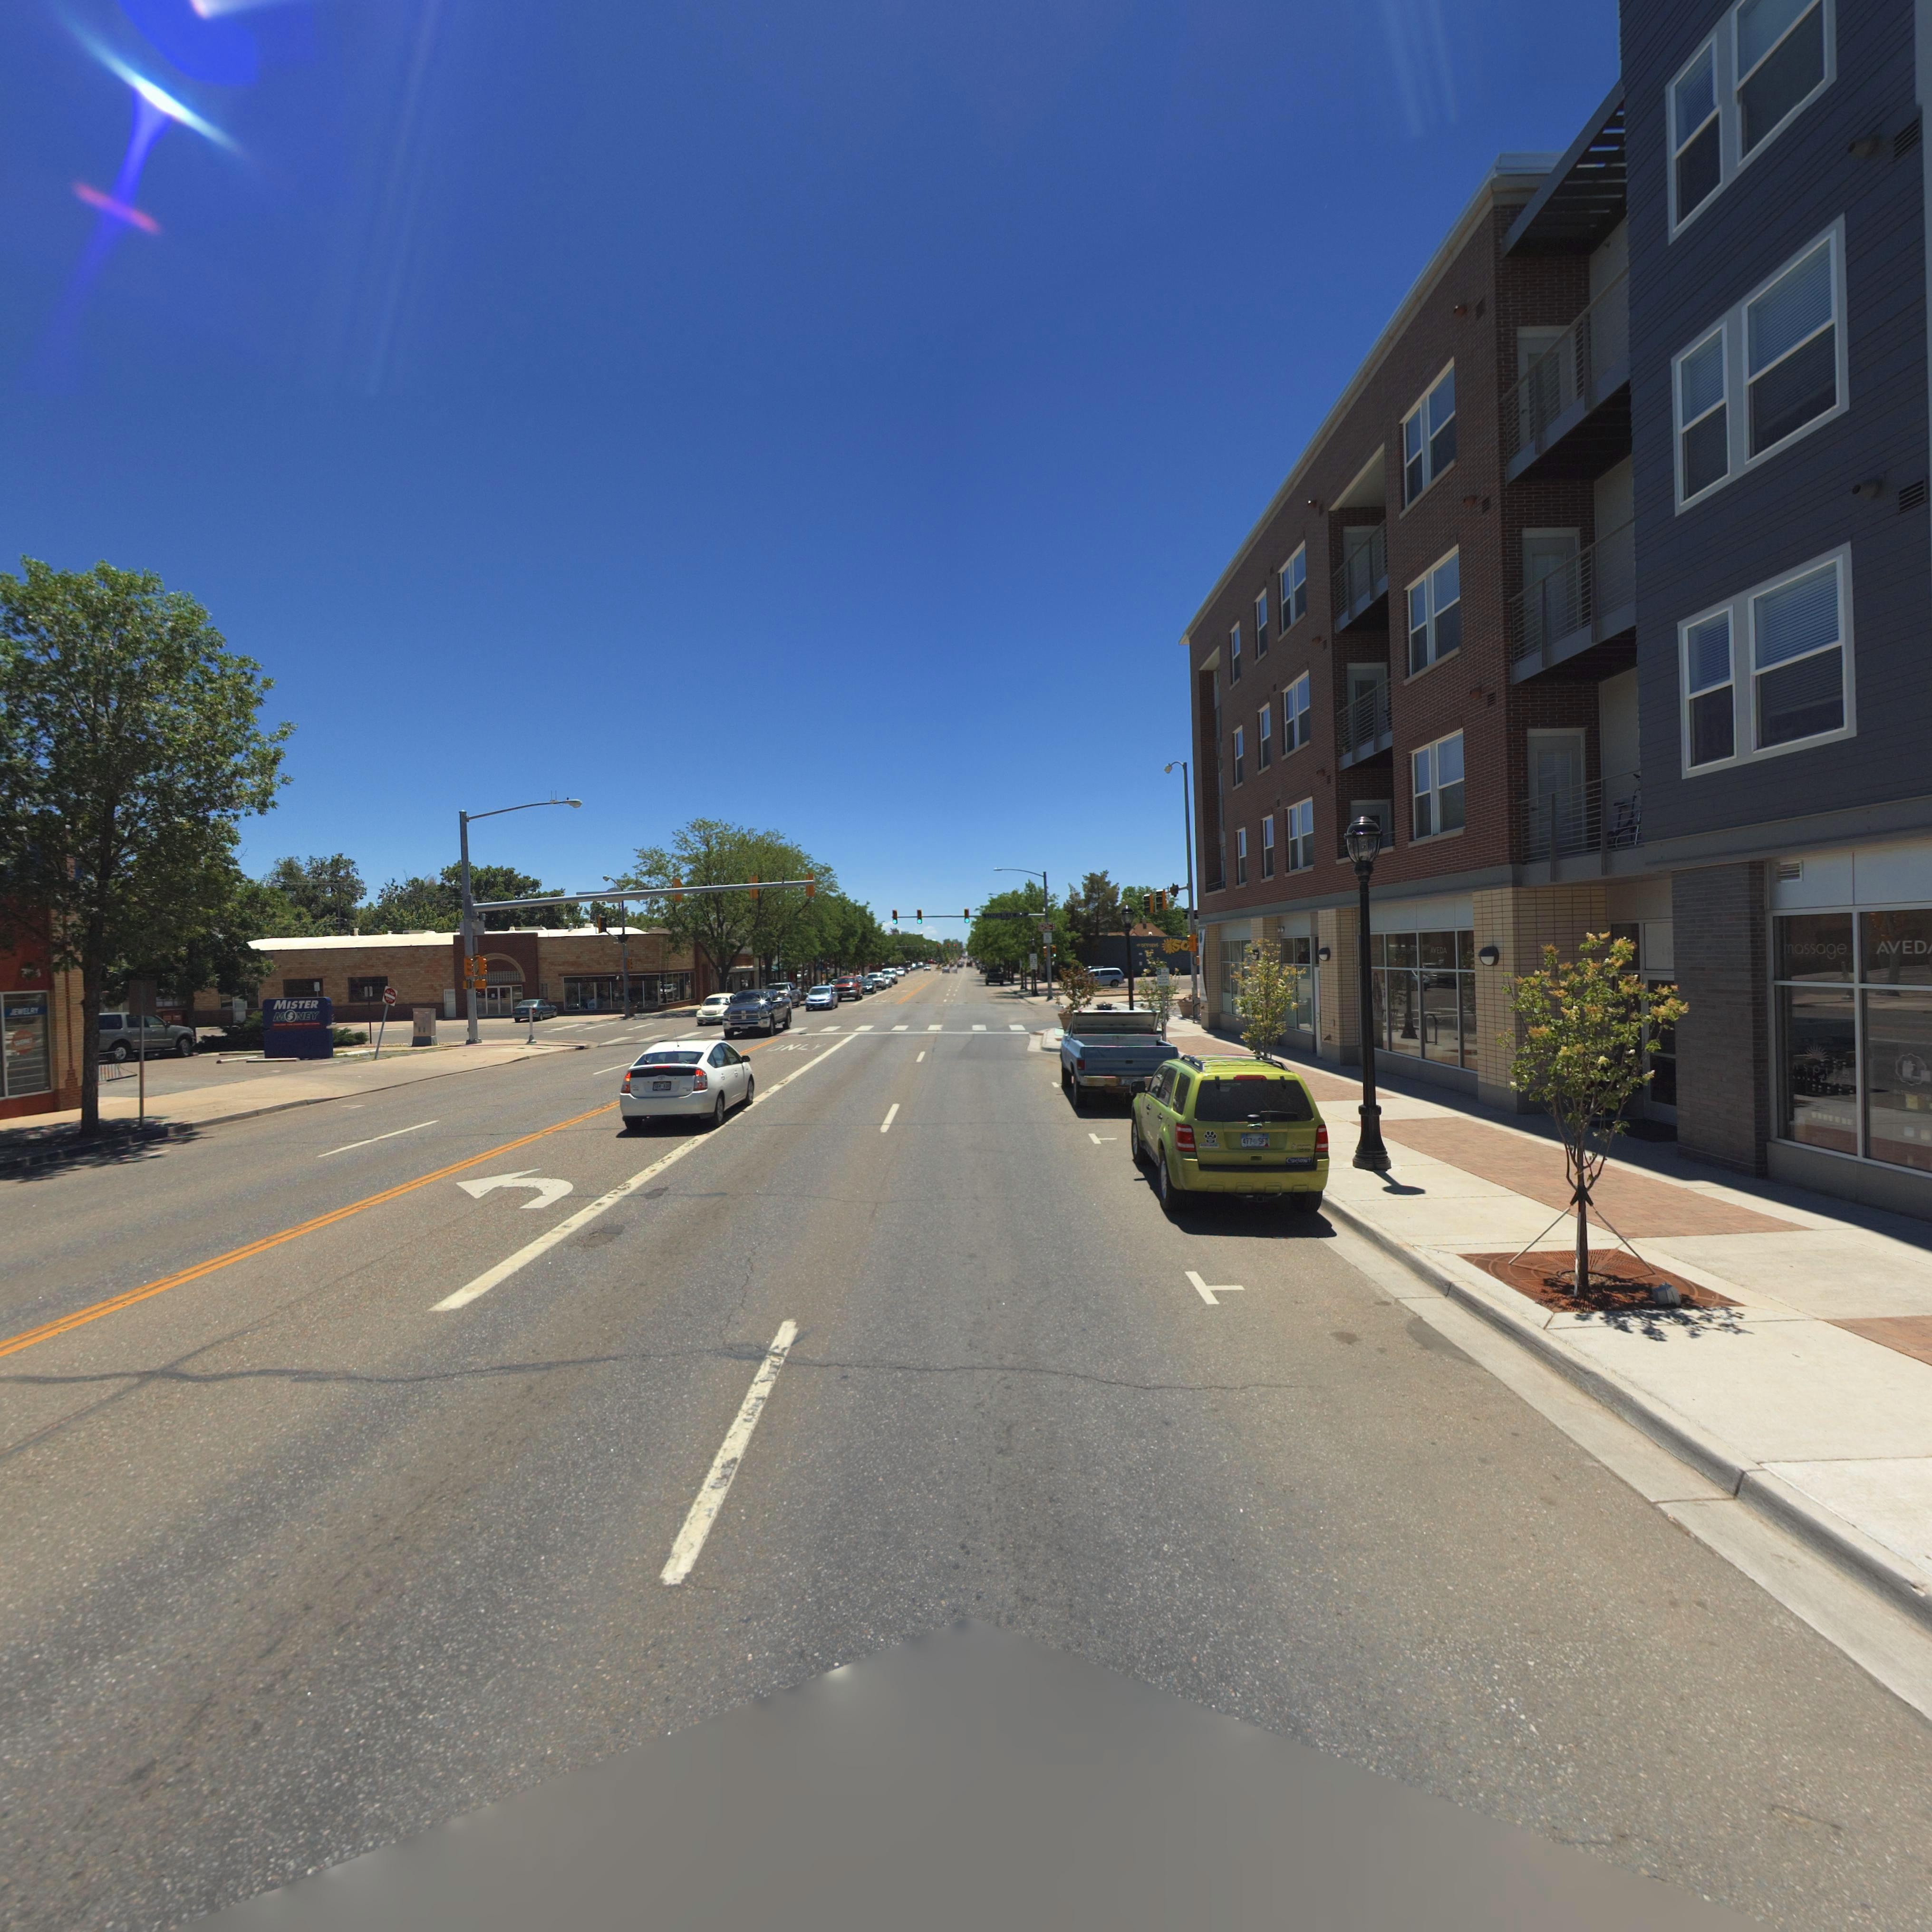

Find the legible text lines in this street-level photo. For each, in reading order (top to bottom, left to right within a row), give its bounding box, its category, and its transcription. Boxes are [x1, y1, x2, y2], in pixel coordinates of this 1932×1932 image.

[985, 913, 1020, 917] StreetName: L*N**PEAK A
[272, 1000, 319, 1010] BusinessName: MISTER
[272, 1009, 319, 1023] BusinessName: M*NEY